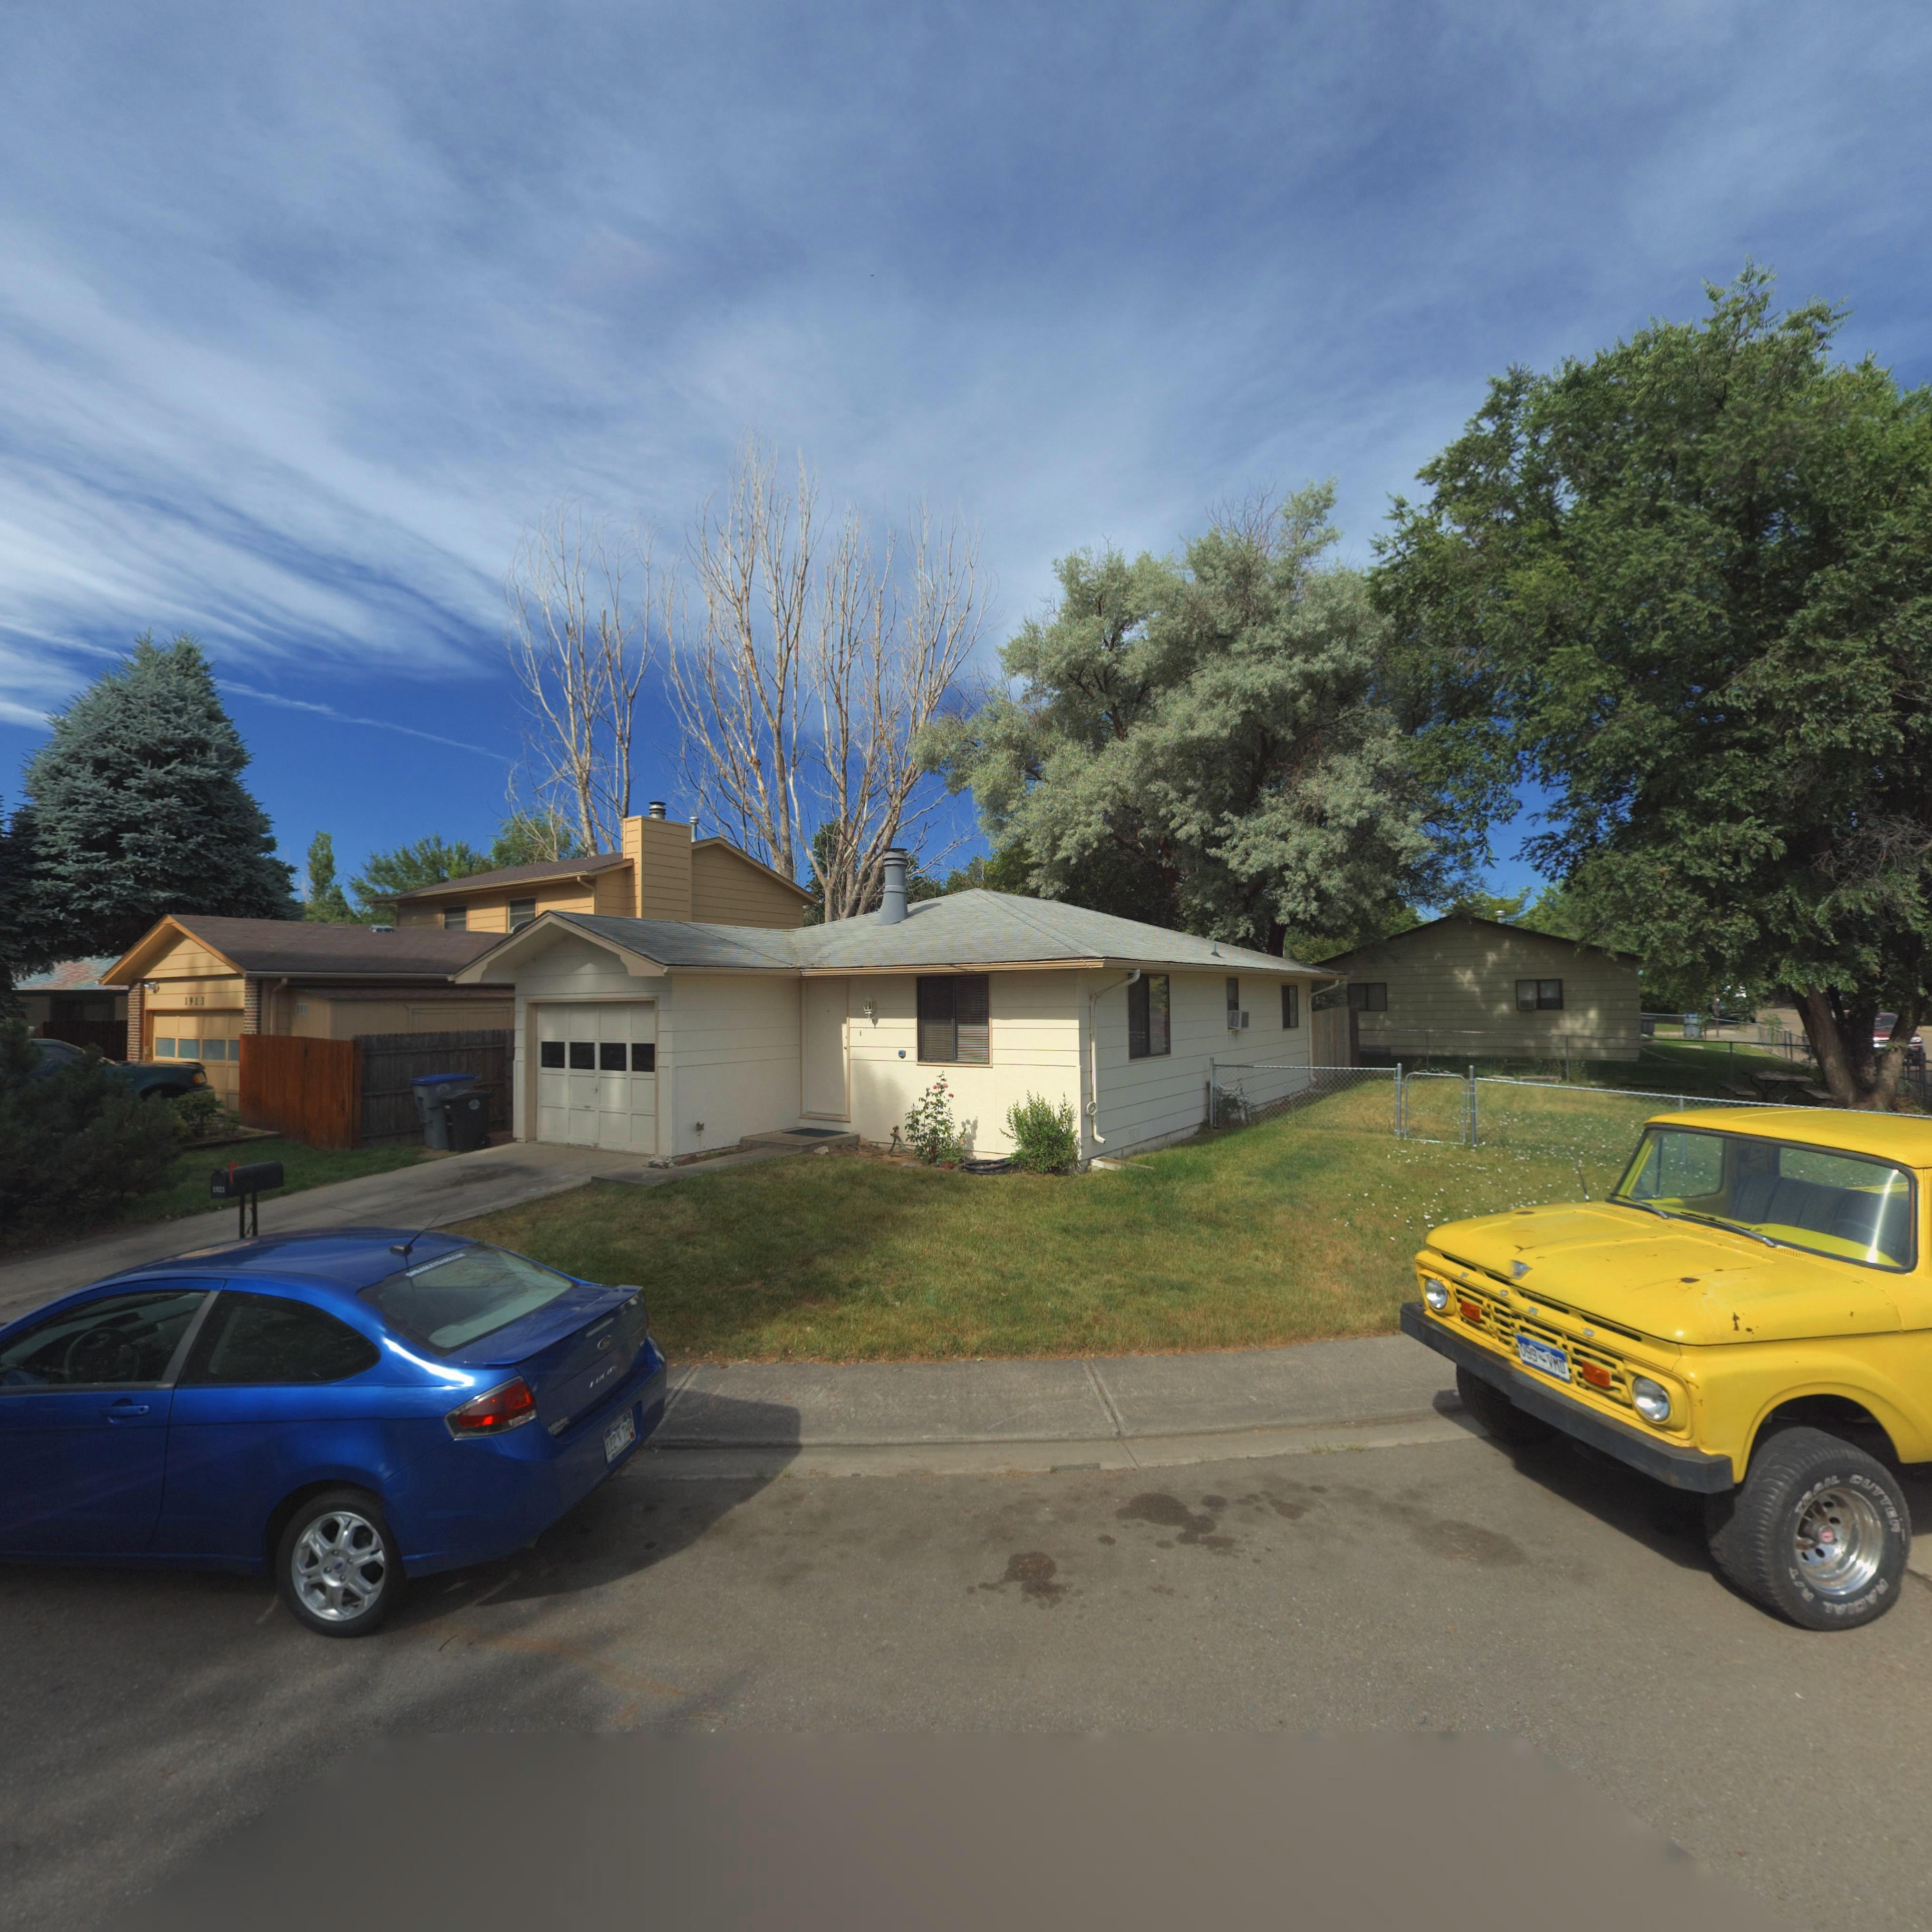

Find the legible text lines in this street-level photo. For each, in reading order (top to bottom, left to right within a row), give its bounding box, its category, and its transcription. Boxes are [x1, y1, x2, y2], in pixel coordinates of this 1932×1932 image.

[184, 996, 204, 1005] StreetNumber: 1913
[213, 1186, 225, 1193] StreetNumber: 1*32